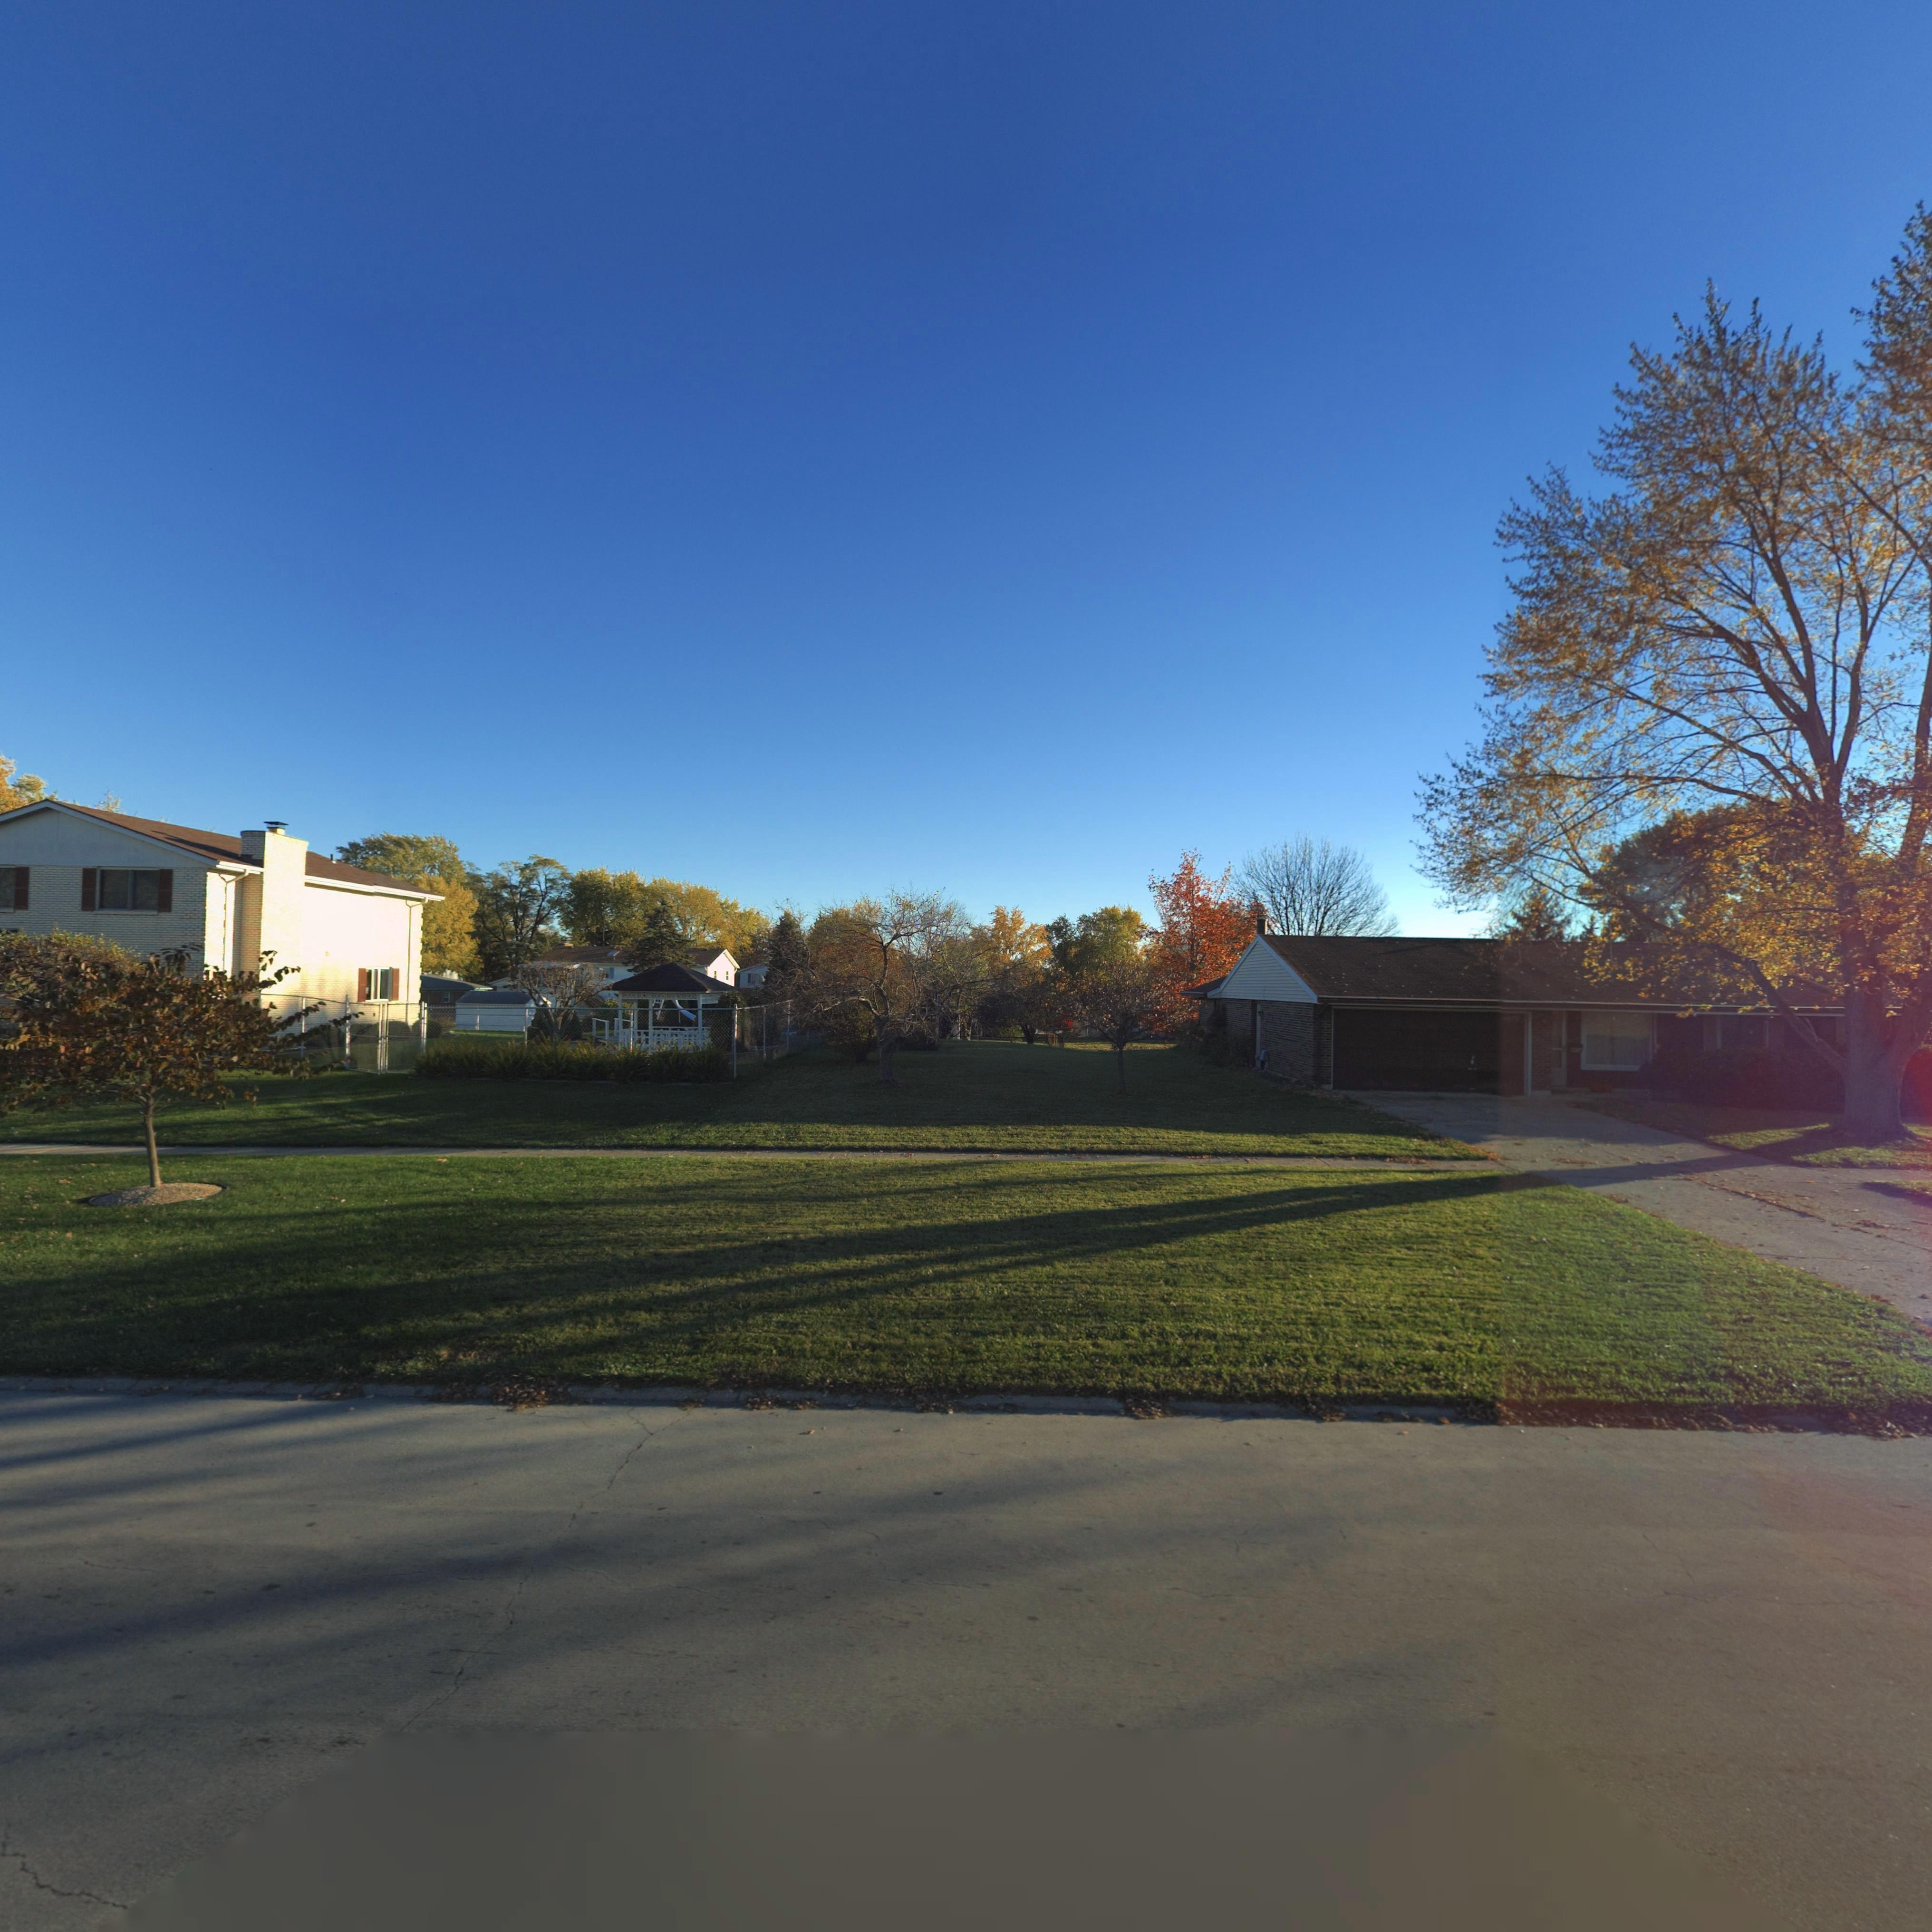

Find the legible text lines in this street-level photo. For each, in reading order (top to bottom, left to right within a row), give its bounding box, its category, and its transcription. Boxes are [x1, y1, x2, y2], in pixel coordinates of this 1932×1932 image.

[1499, 1014, 1519, 1021] StreetNumber: 4***